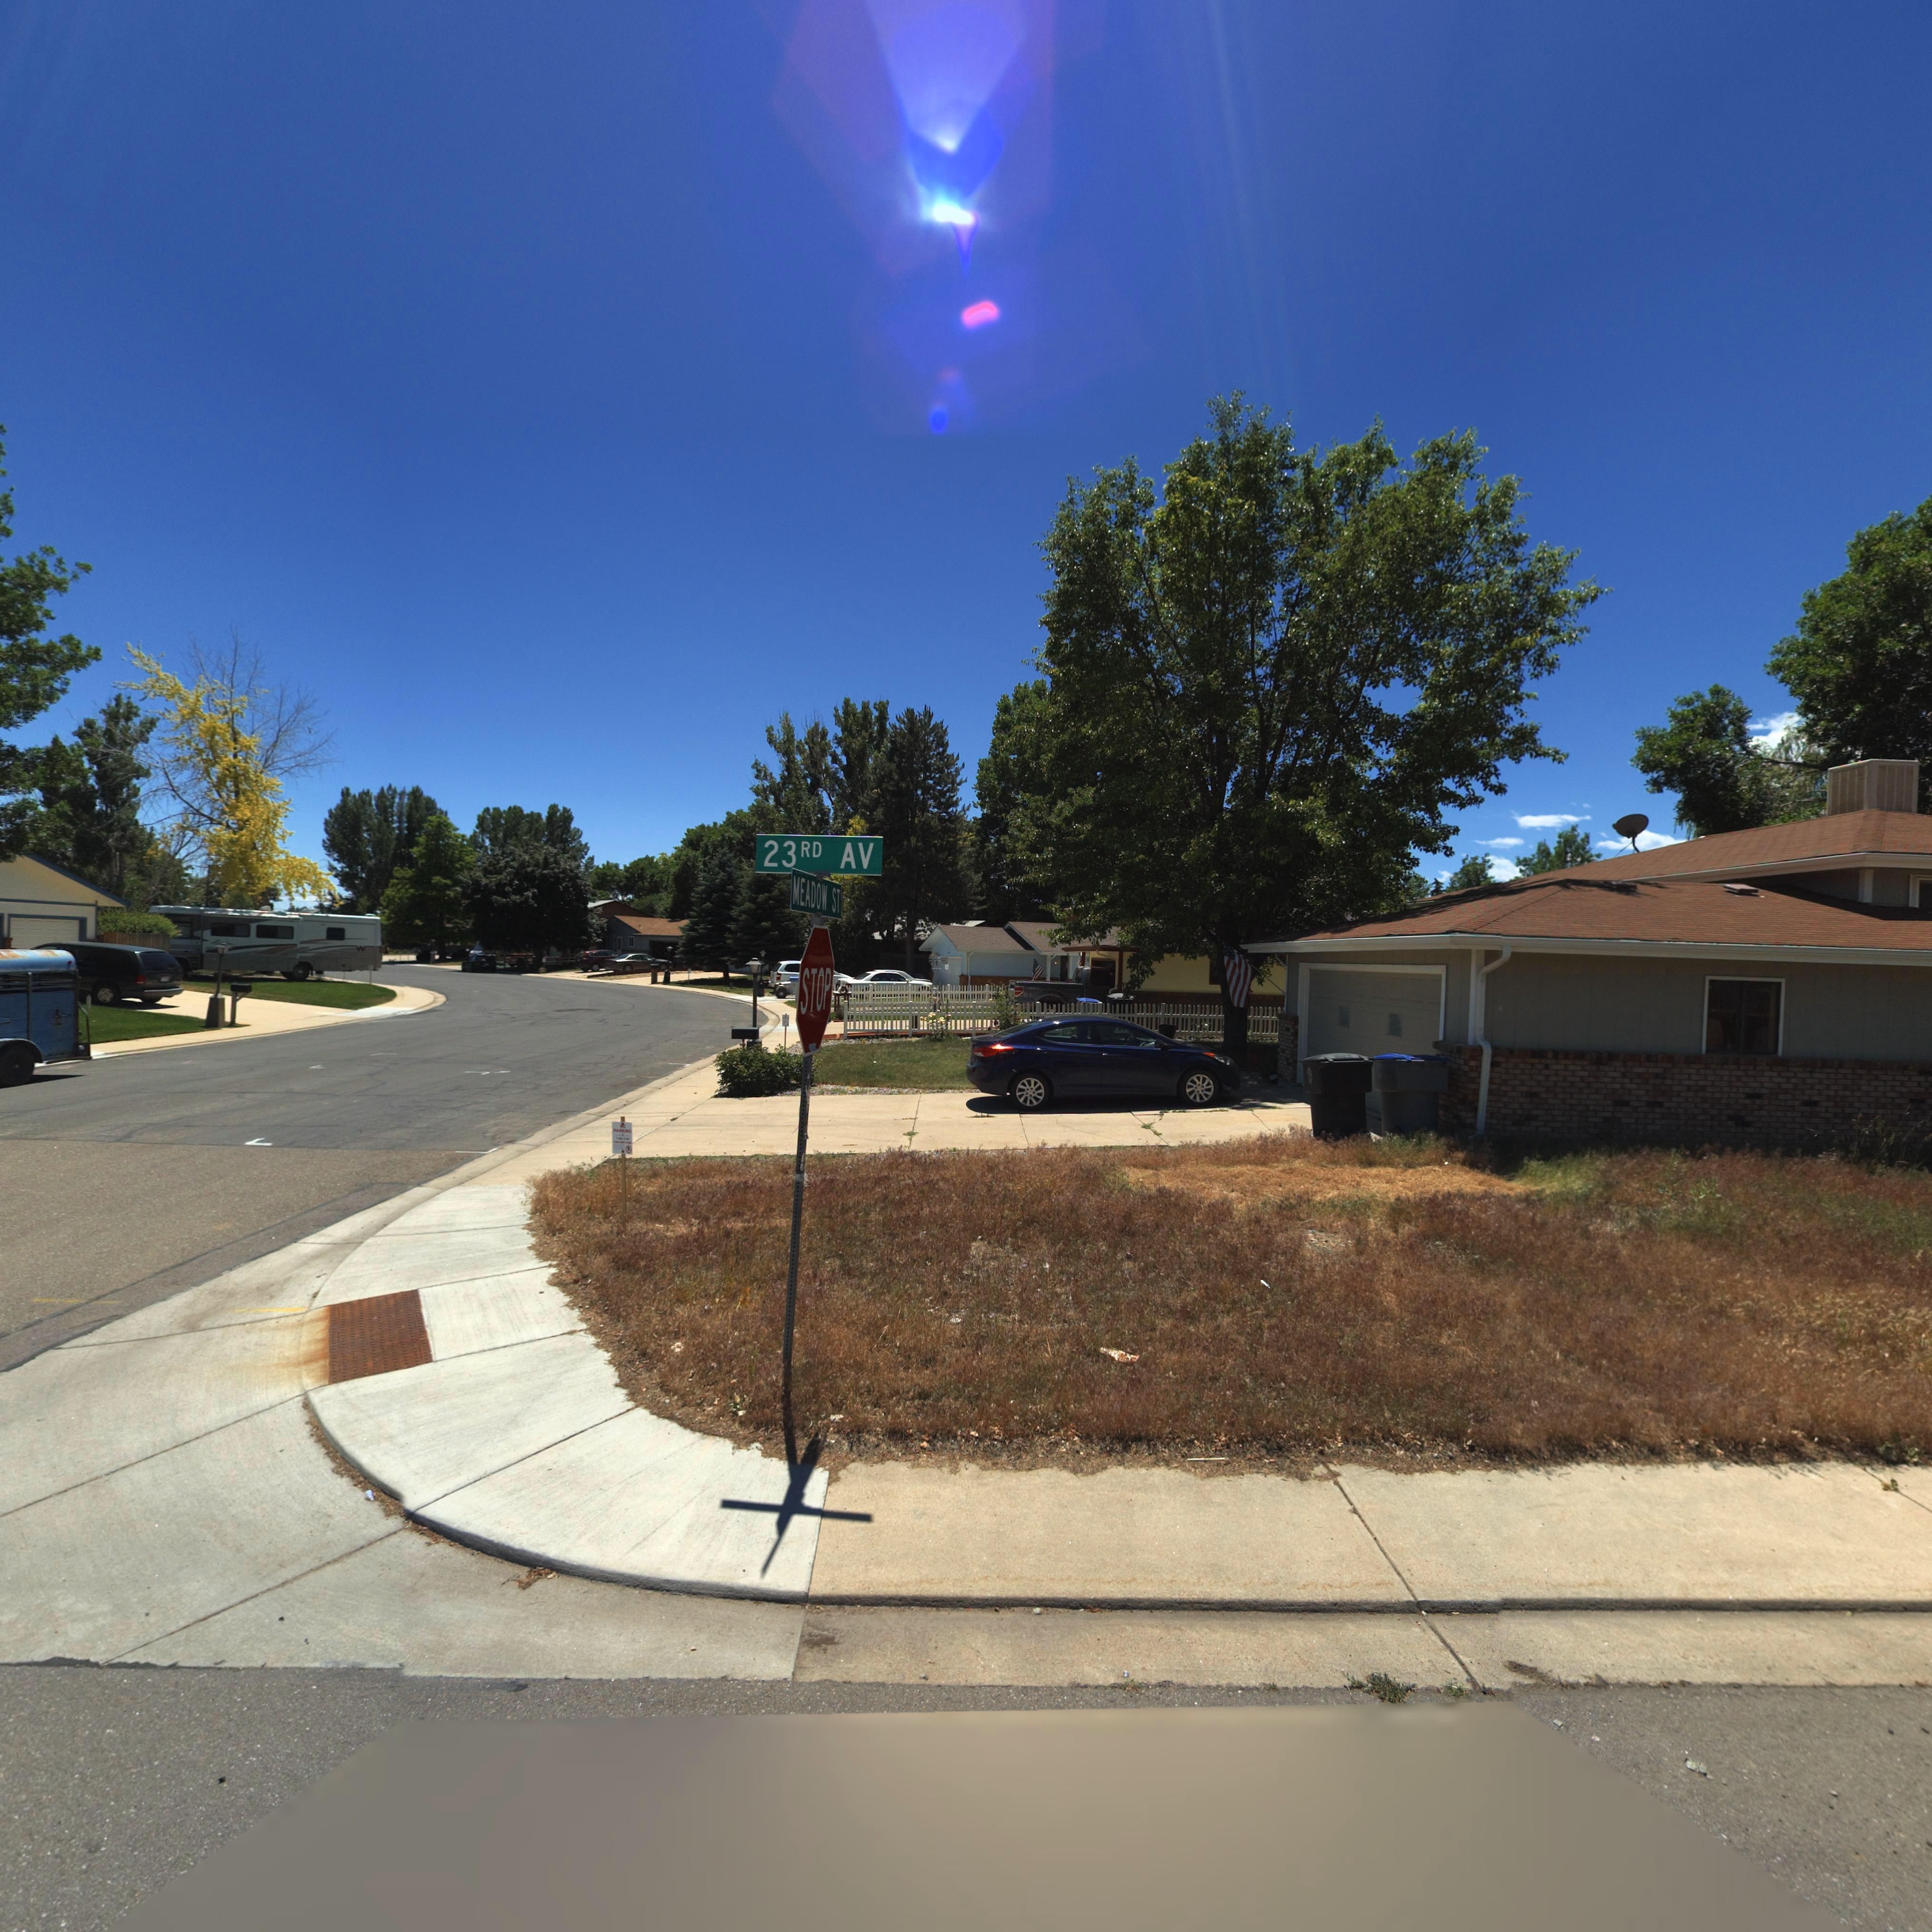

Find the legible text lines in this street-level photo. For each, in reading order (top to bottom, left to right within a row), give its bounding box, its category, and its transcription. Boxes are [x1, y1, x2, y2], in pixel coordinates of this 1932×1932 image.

[763, 839, 875, 870] StreetName: 23RD AV
[792, 874, 841, 913] StreetName: MEADOW ST